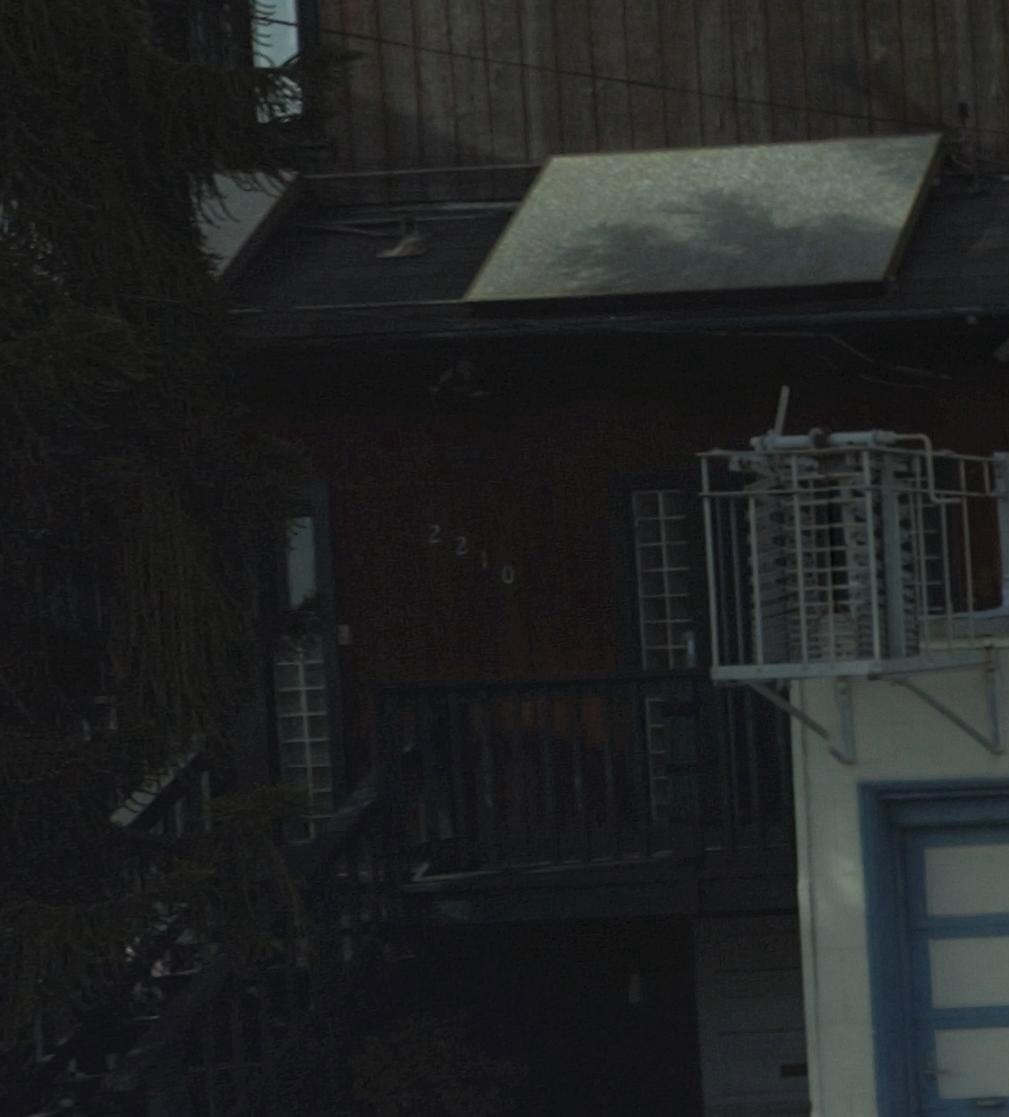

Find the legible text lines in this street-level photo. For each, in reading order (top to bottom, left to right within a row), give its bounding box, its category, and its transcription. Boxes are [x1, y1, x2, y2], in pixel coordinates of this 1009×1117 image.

[426, 521, 518, 587] StreetNumber: 2210